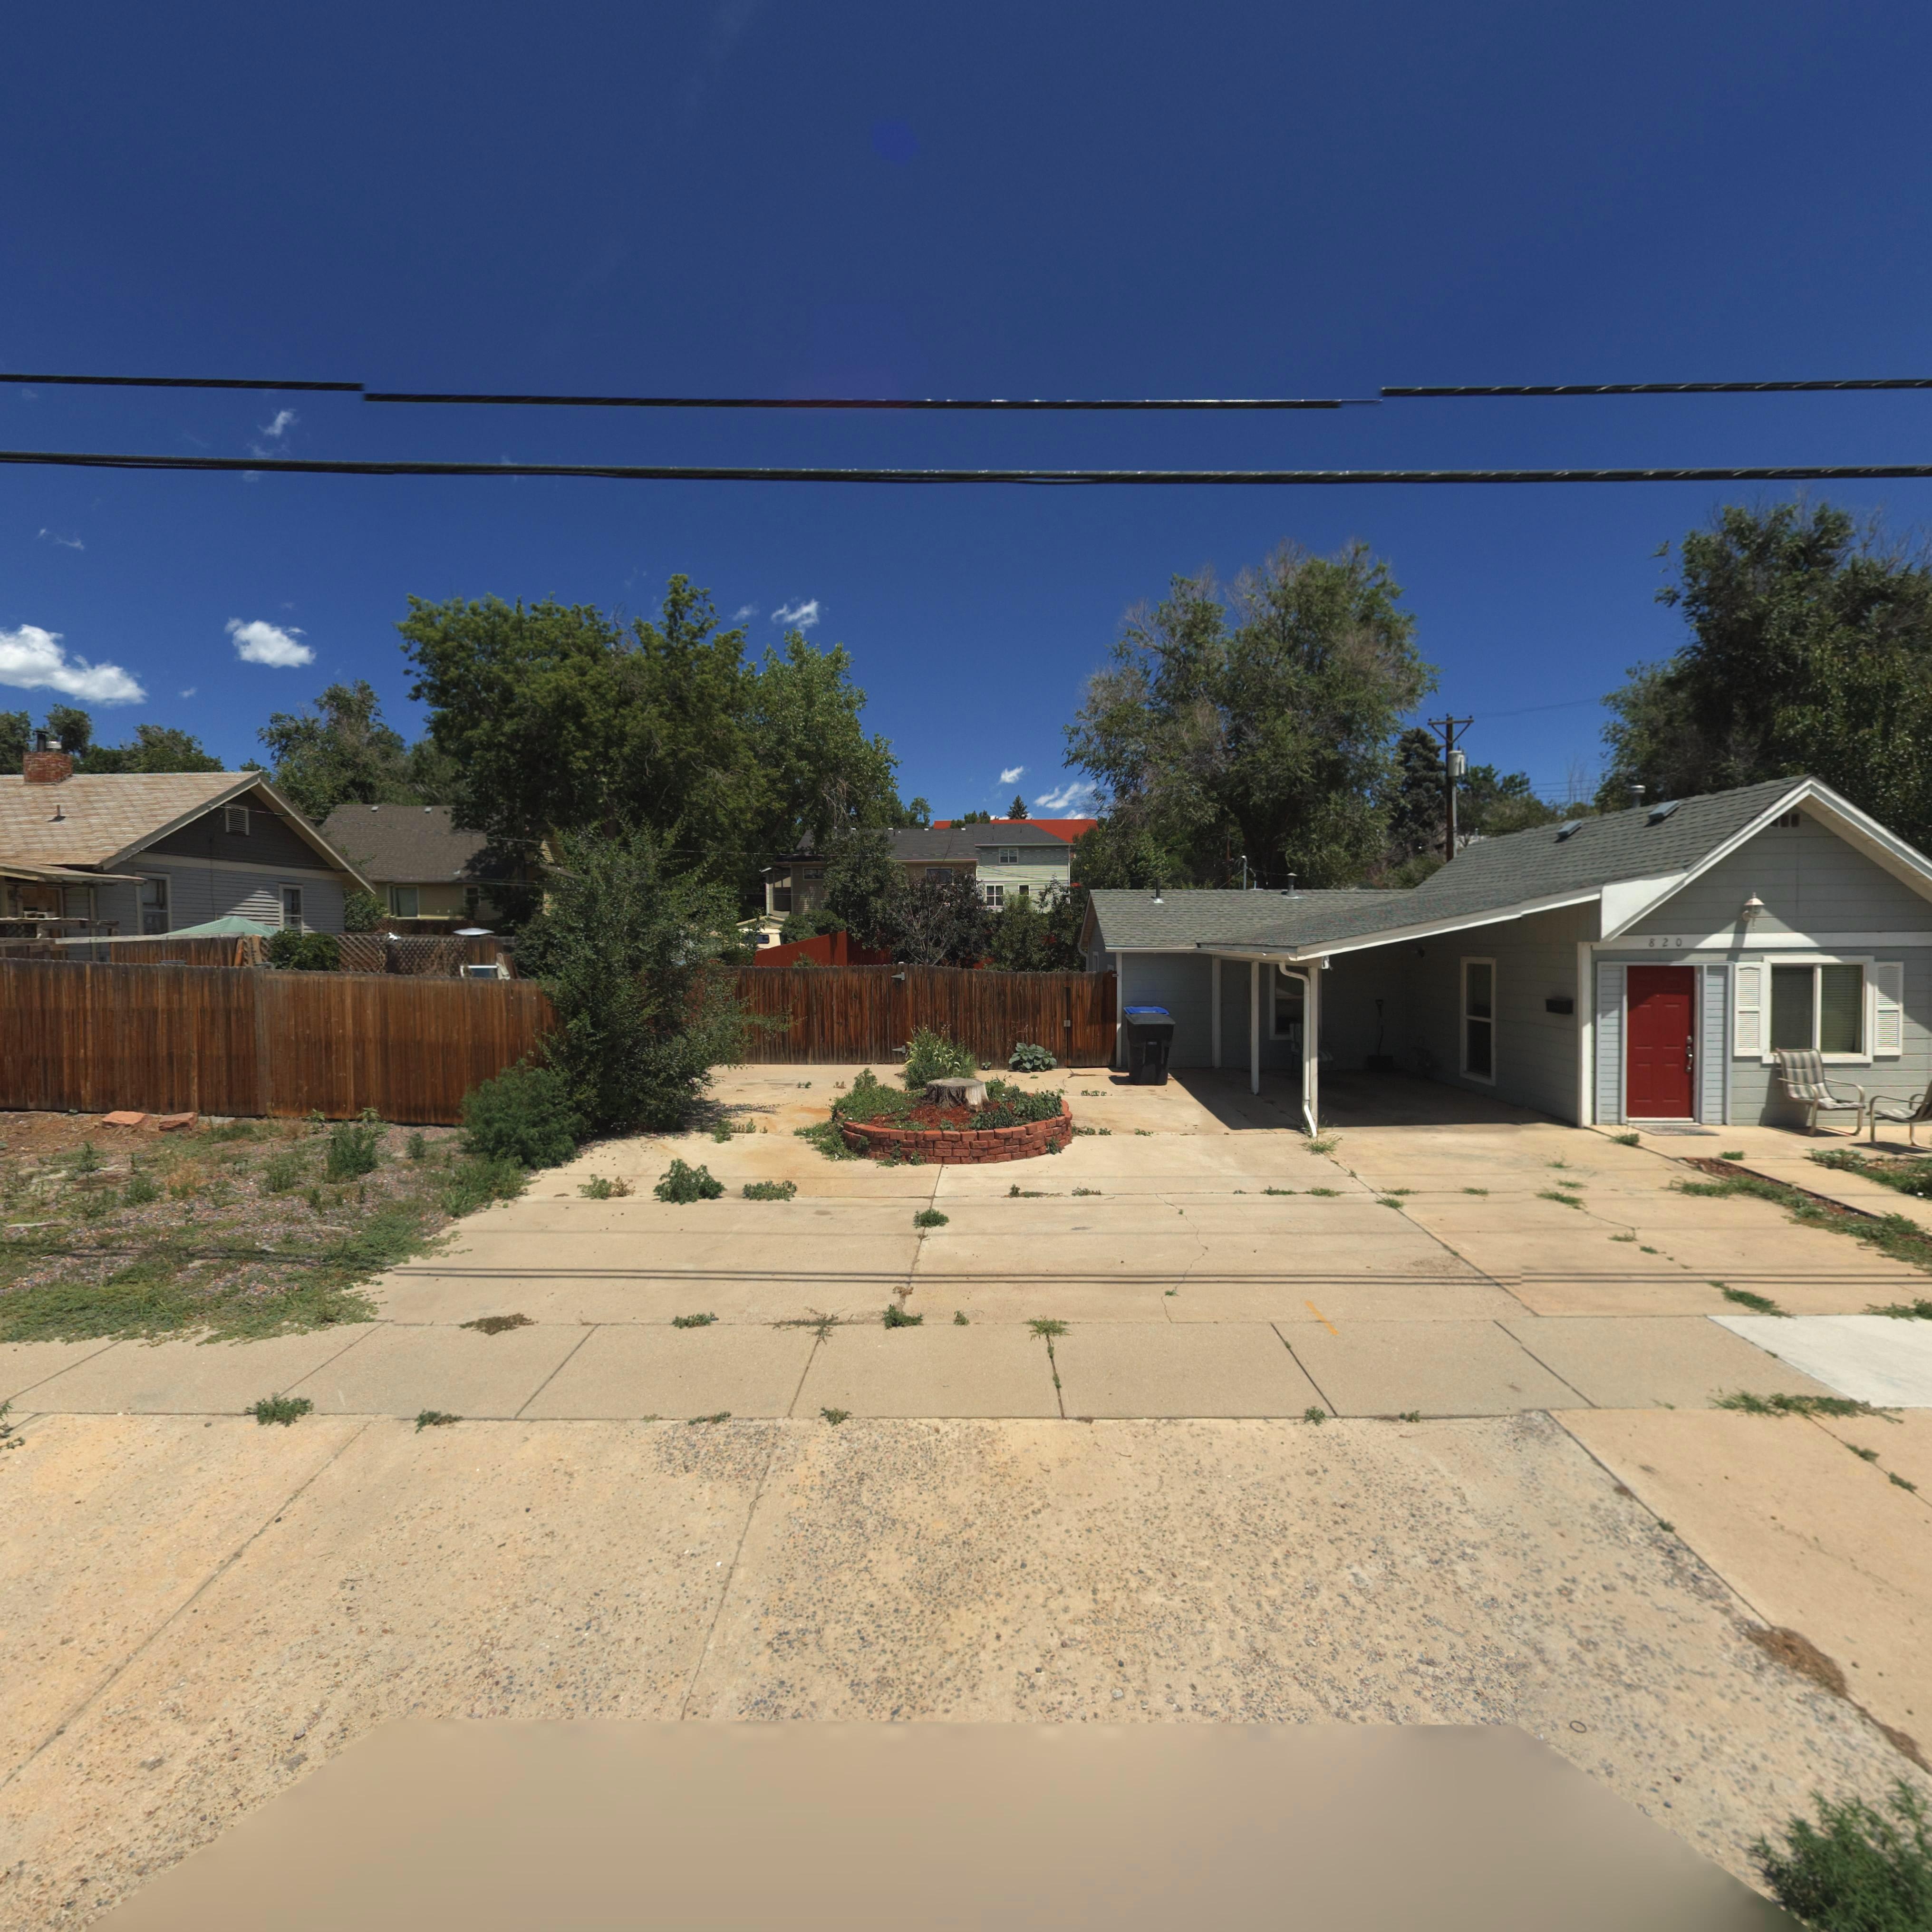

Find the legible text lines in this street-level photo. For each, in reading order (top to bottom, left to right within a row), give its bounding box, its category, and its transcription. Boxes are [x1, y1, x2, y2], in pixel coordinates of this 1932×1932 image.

[1646, 937, 1683, 948] StreetNumber: 820